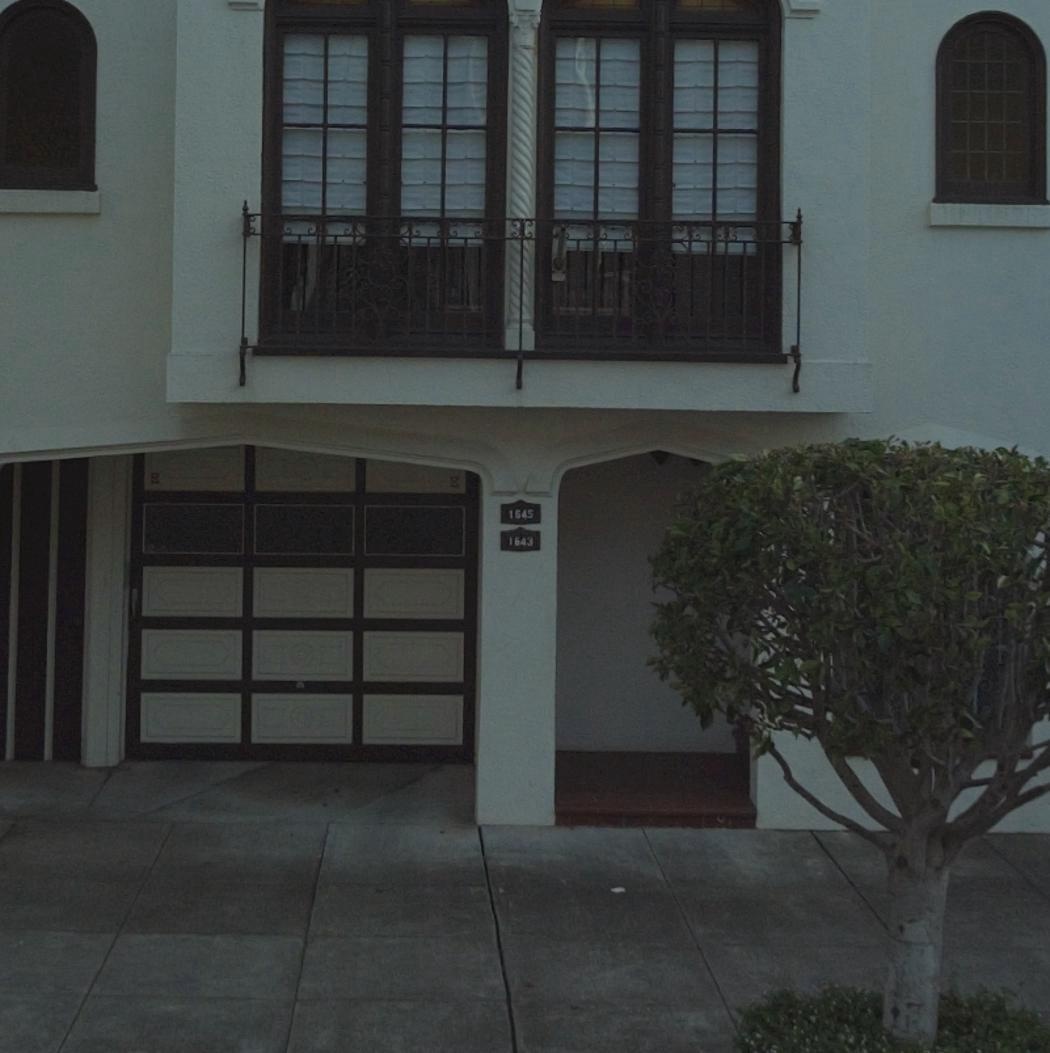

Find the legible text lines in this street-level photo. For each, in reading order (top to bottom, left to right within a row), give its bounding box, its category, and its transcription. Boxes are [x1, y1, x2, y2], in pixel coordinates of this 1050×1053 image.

[507, 507, 536, 521] StreetNumber: 1645
[506, 534, 536, 549] StreetNumber: 1643